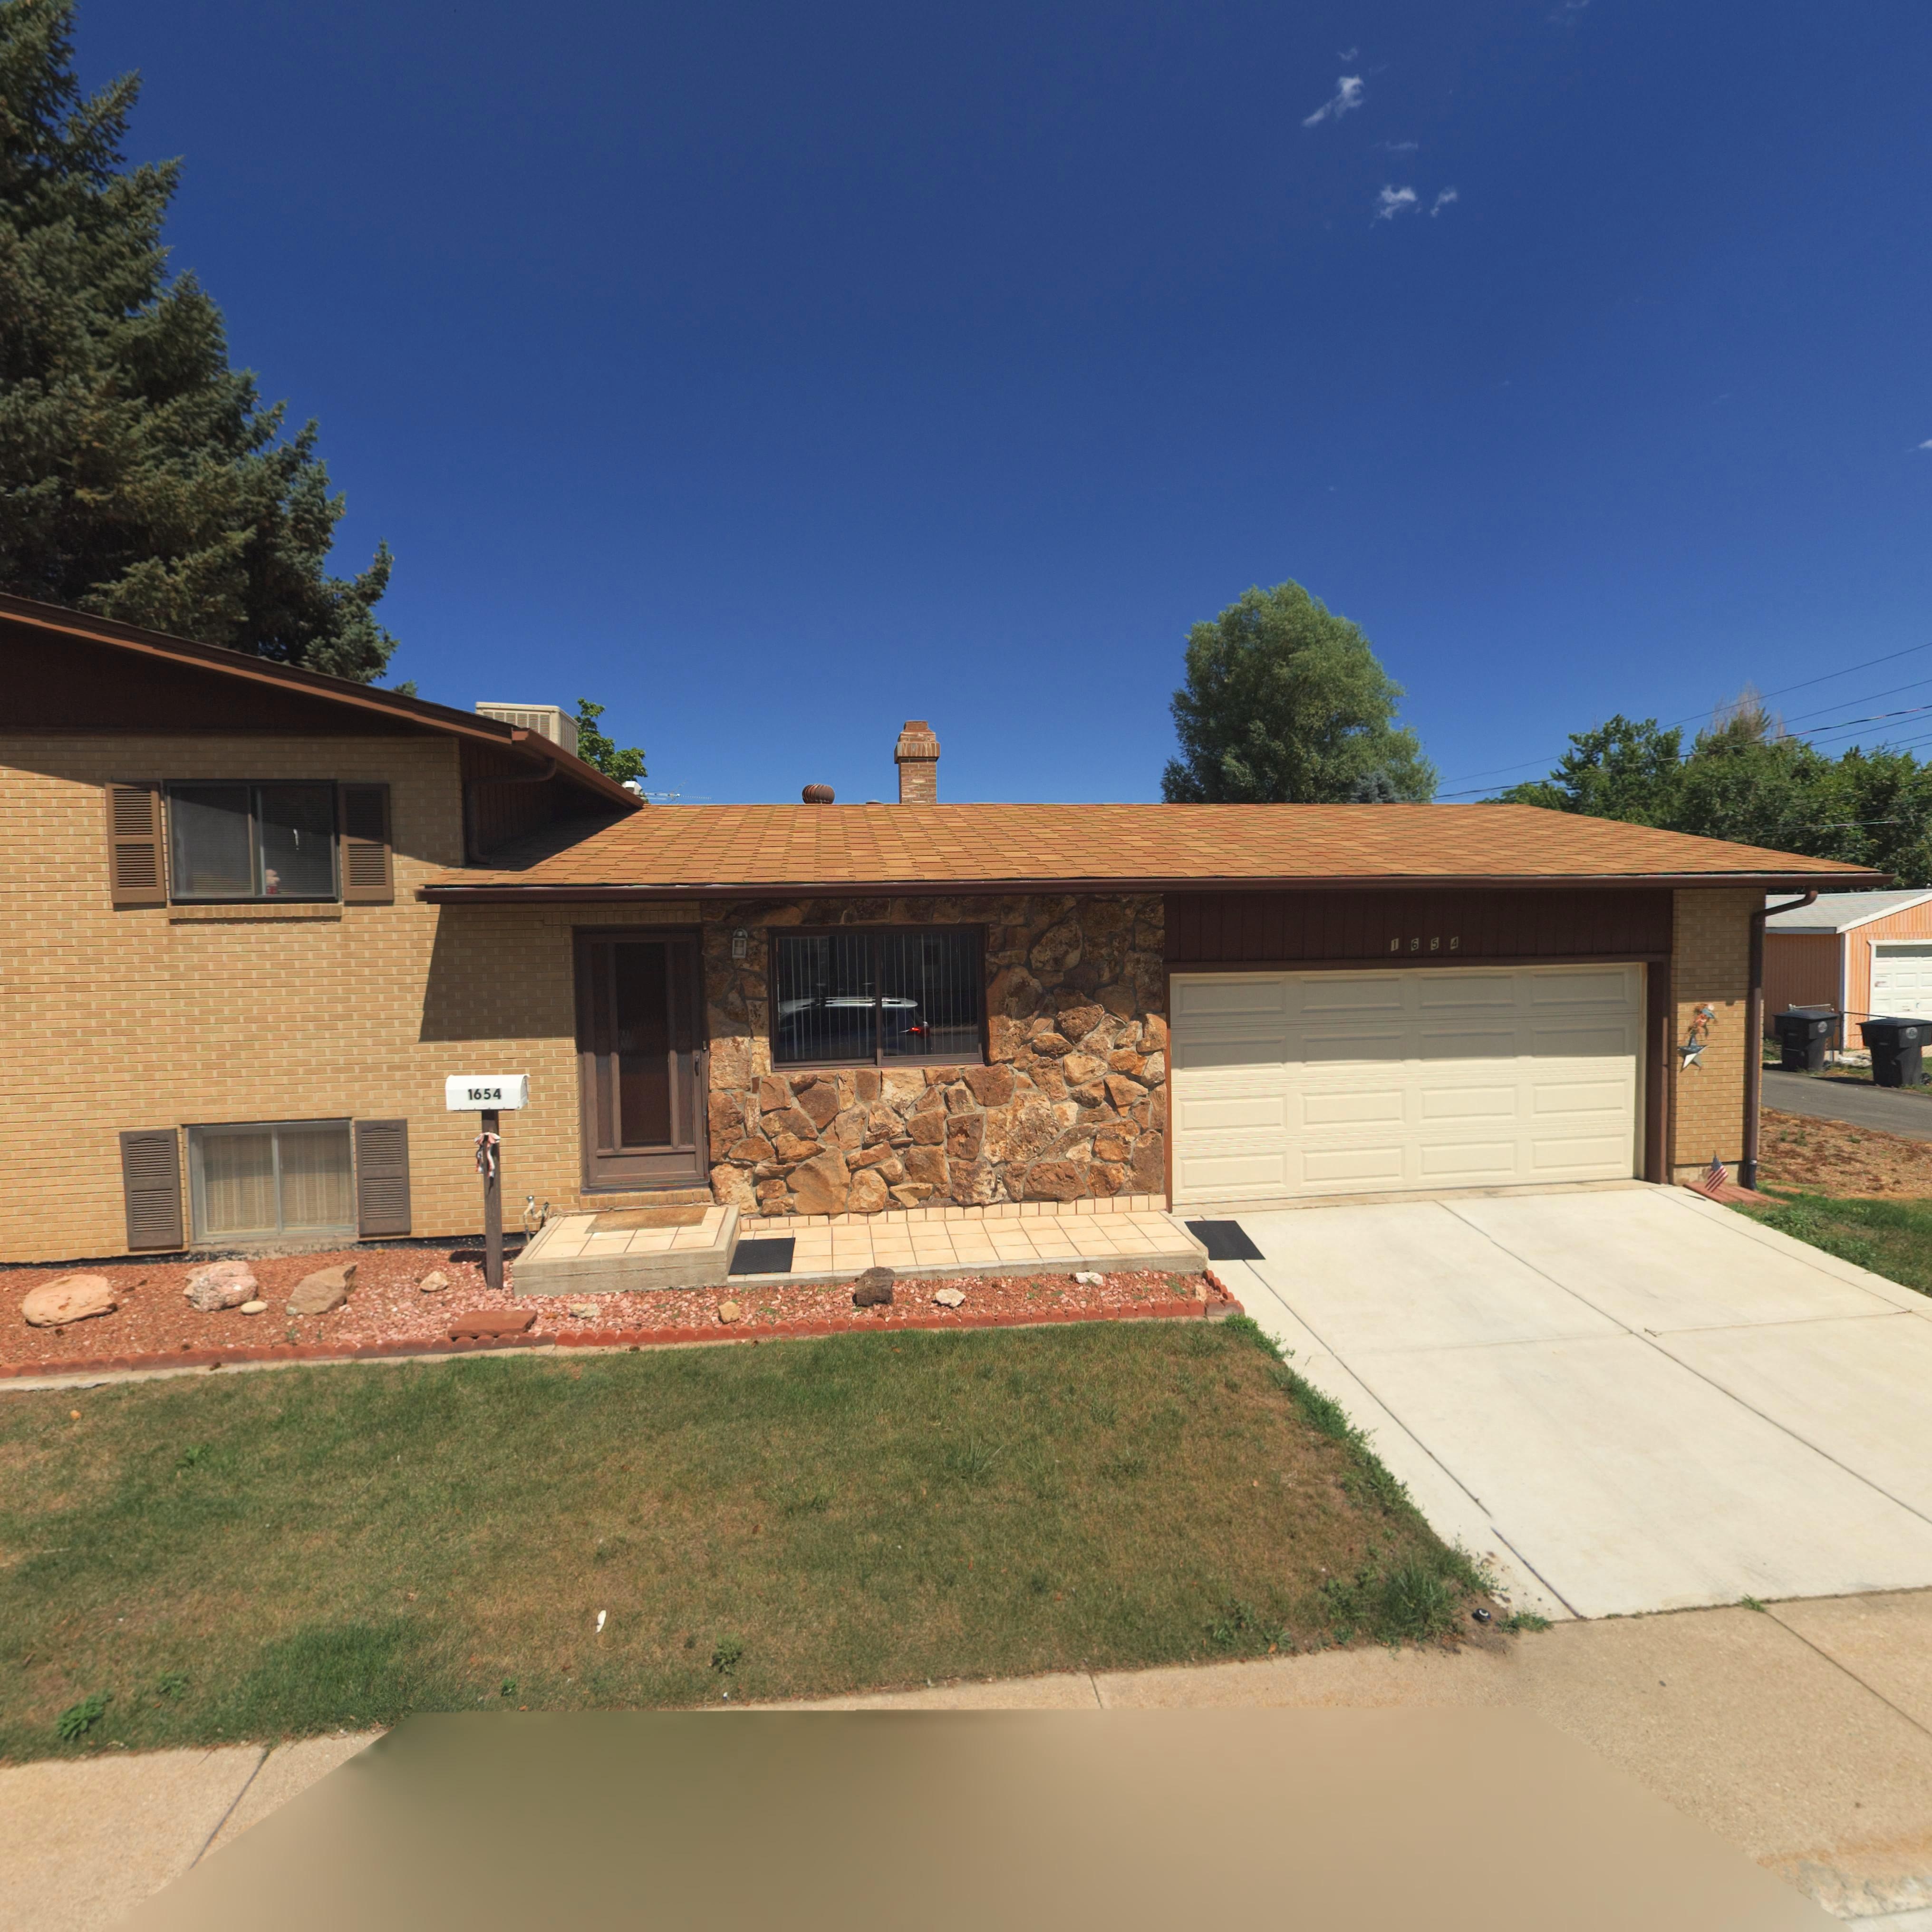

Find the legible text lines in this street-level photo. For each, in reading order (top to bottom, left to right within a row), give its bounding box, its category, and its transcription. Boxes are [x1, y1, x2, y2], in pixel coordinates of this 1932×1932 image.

[1391, 937, 1459, 950] StreetNumber: 1654
[467, 1088, 502, 1100] StreetNumber: 1654